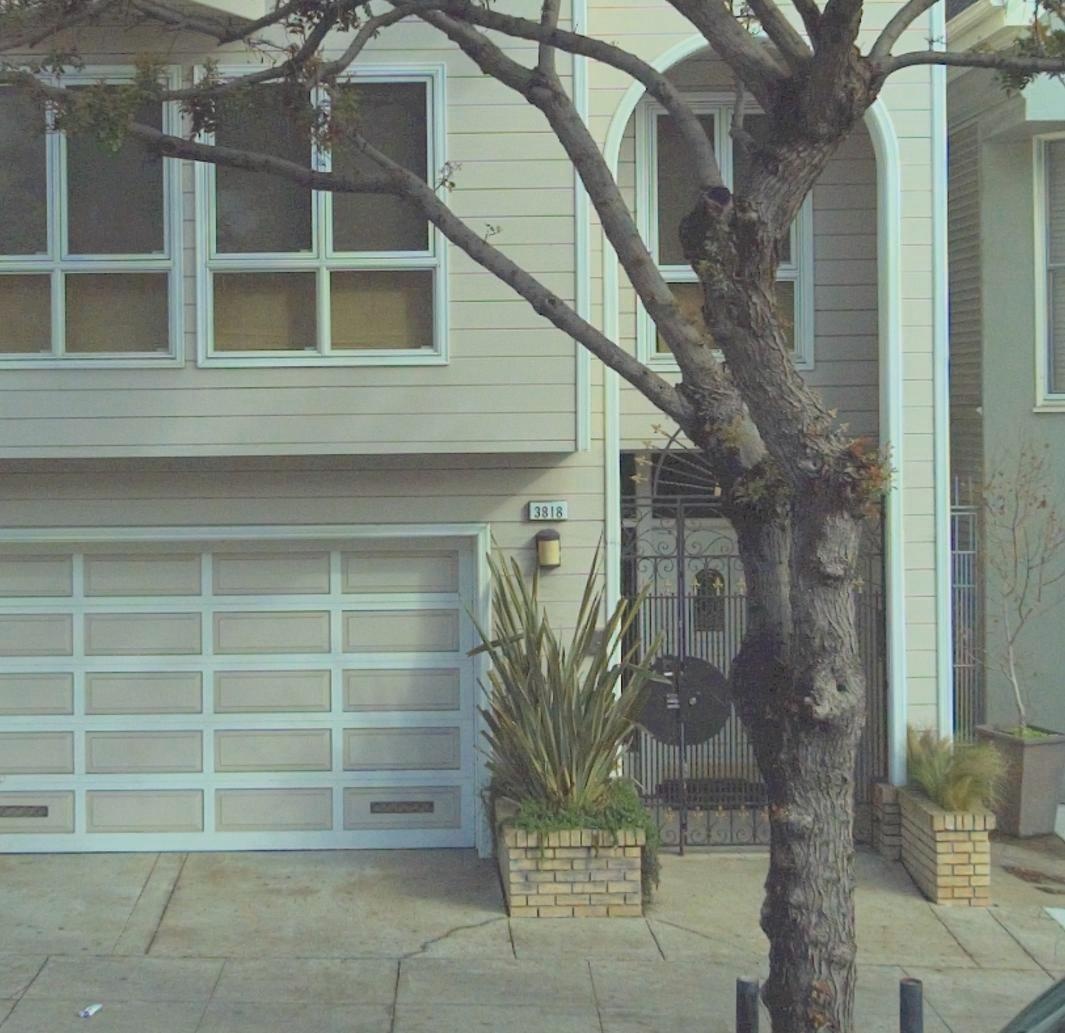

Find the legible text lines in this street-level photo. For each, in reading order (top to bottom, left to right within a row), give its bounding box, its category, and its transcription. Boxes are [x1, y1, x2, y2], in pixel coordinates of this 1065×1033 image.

[532, 504, 563, 519] StreetNumber: 3818